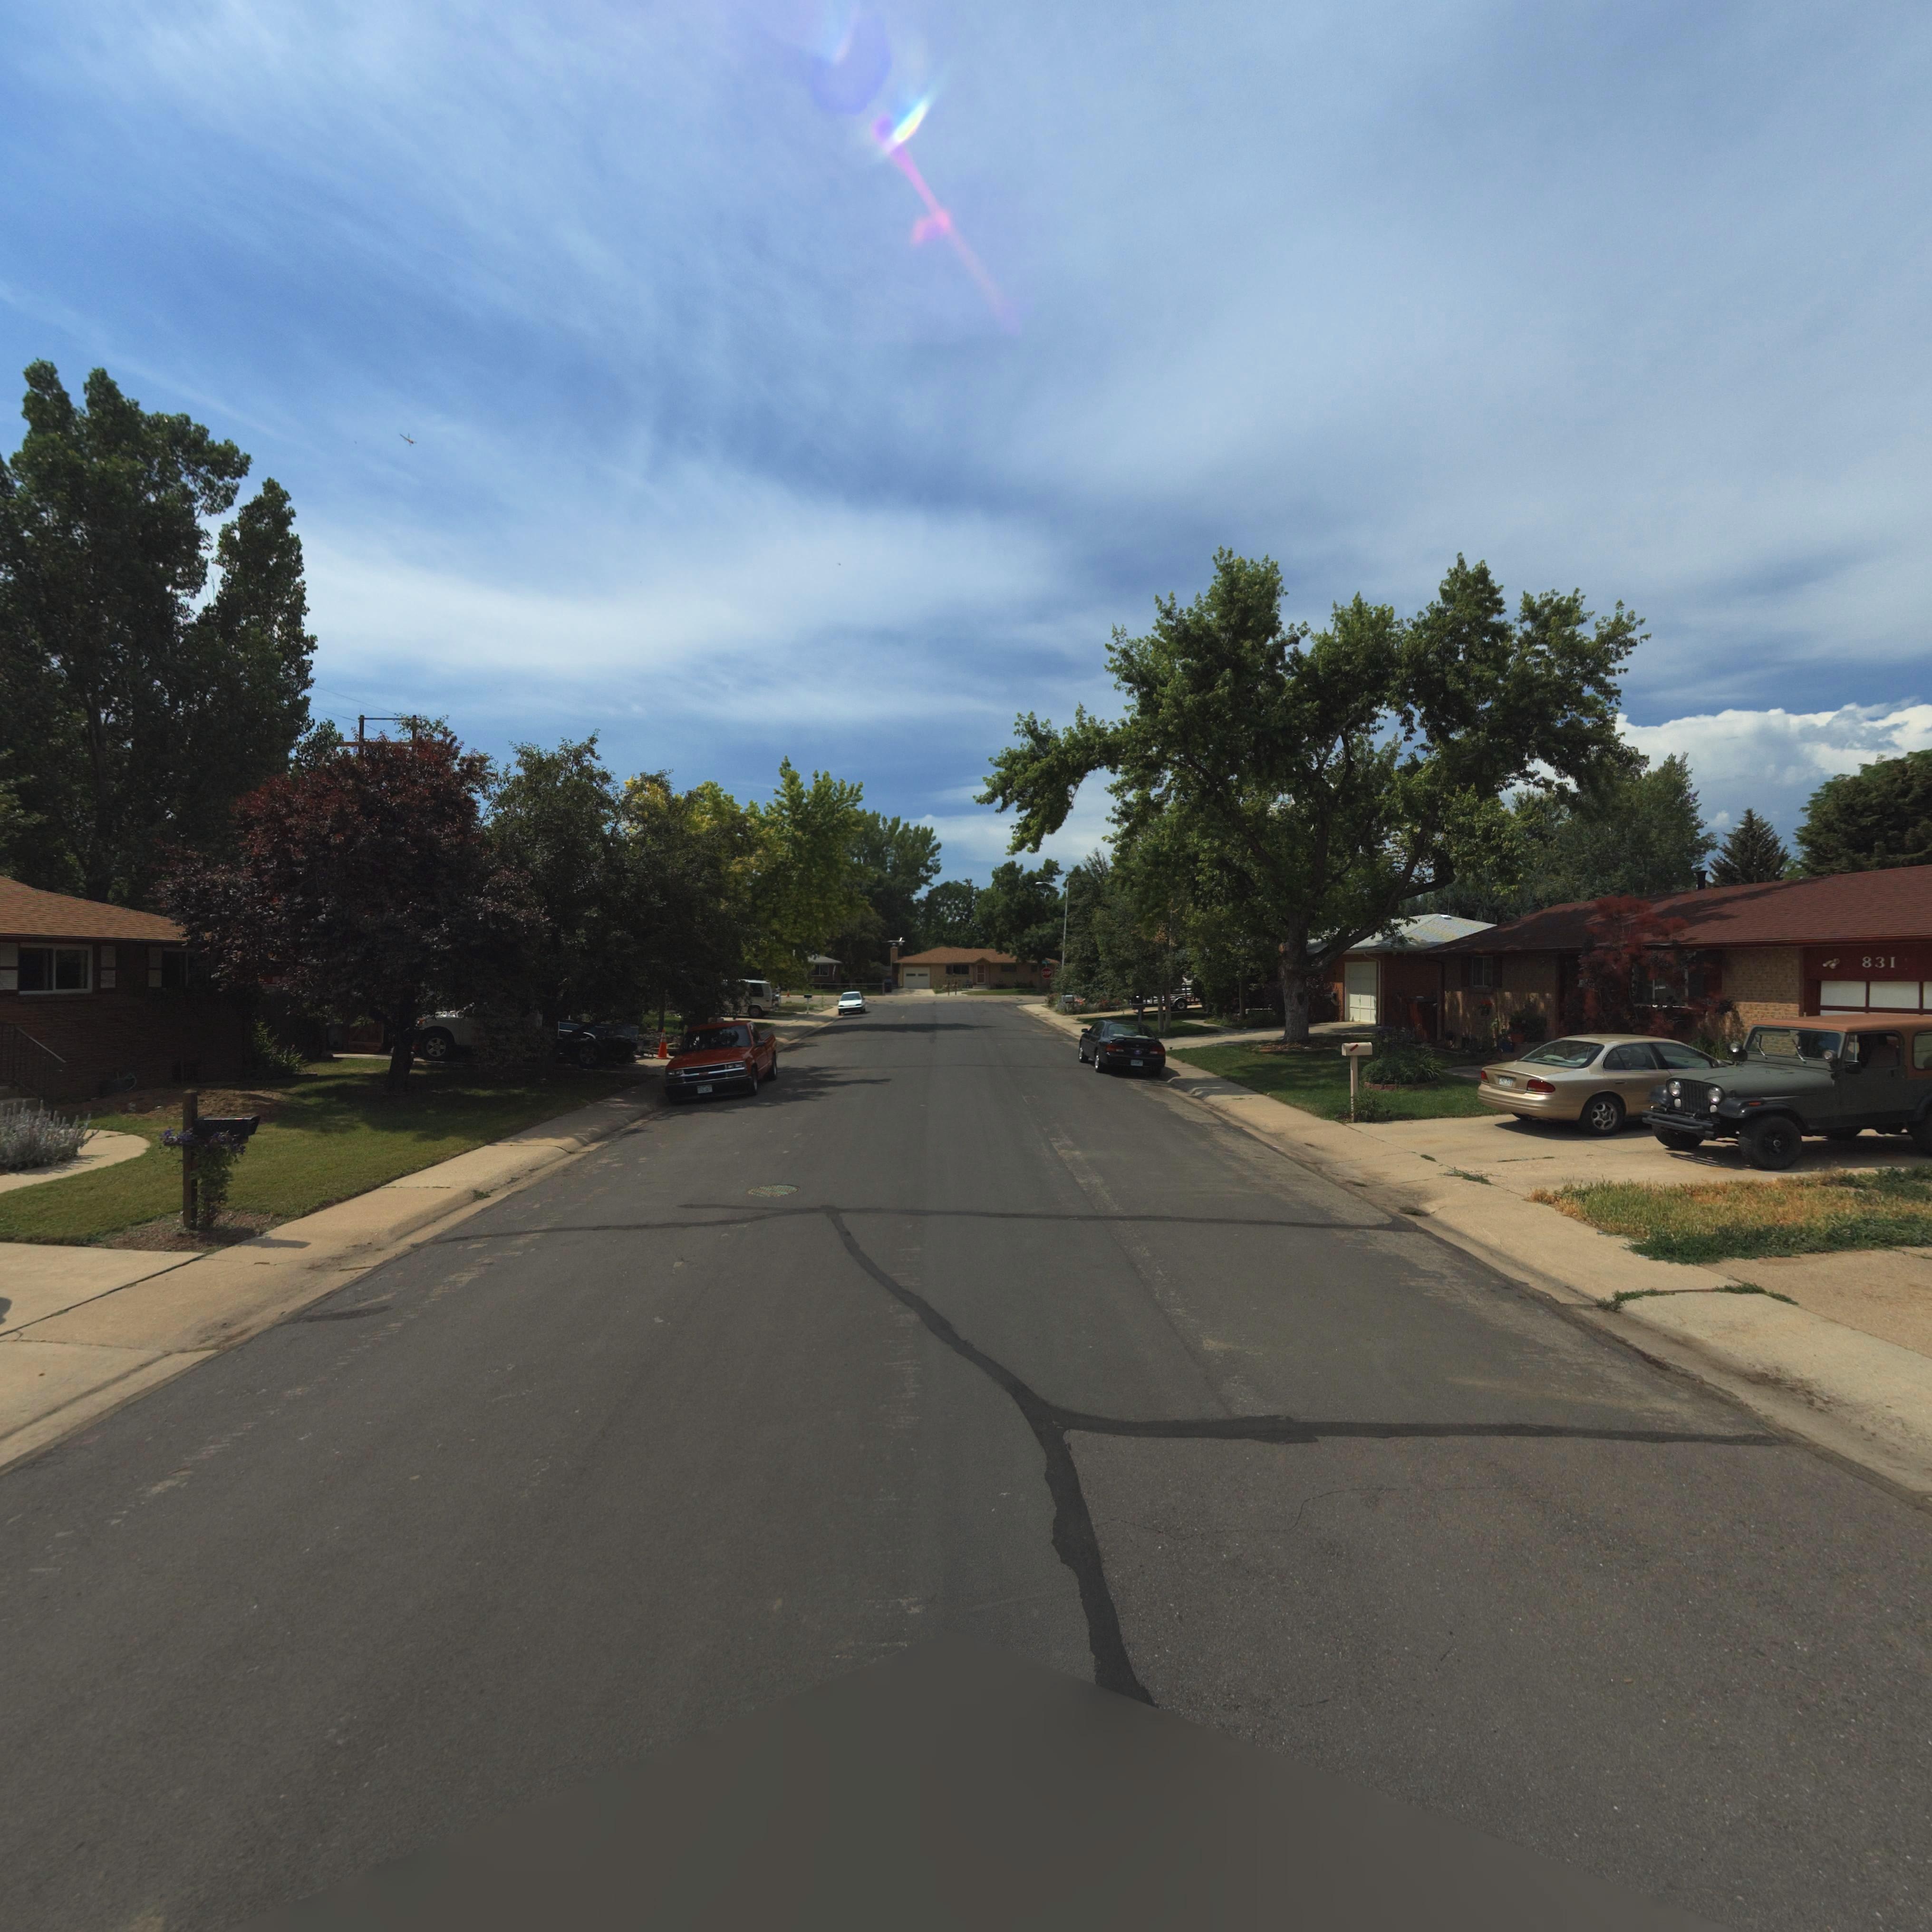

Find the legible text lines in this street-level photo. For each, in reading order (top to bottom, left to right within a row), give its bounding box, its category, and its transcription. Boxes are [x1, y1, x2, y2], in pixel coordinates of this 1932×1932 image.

[1861, 956, 1896, 968] StreetNumber: 831